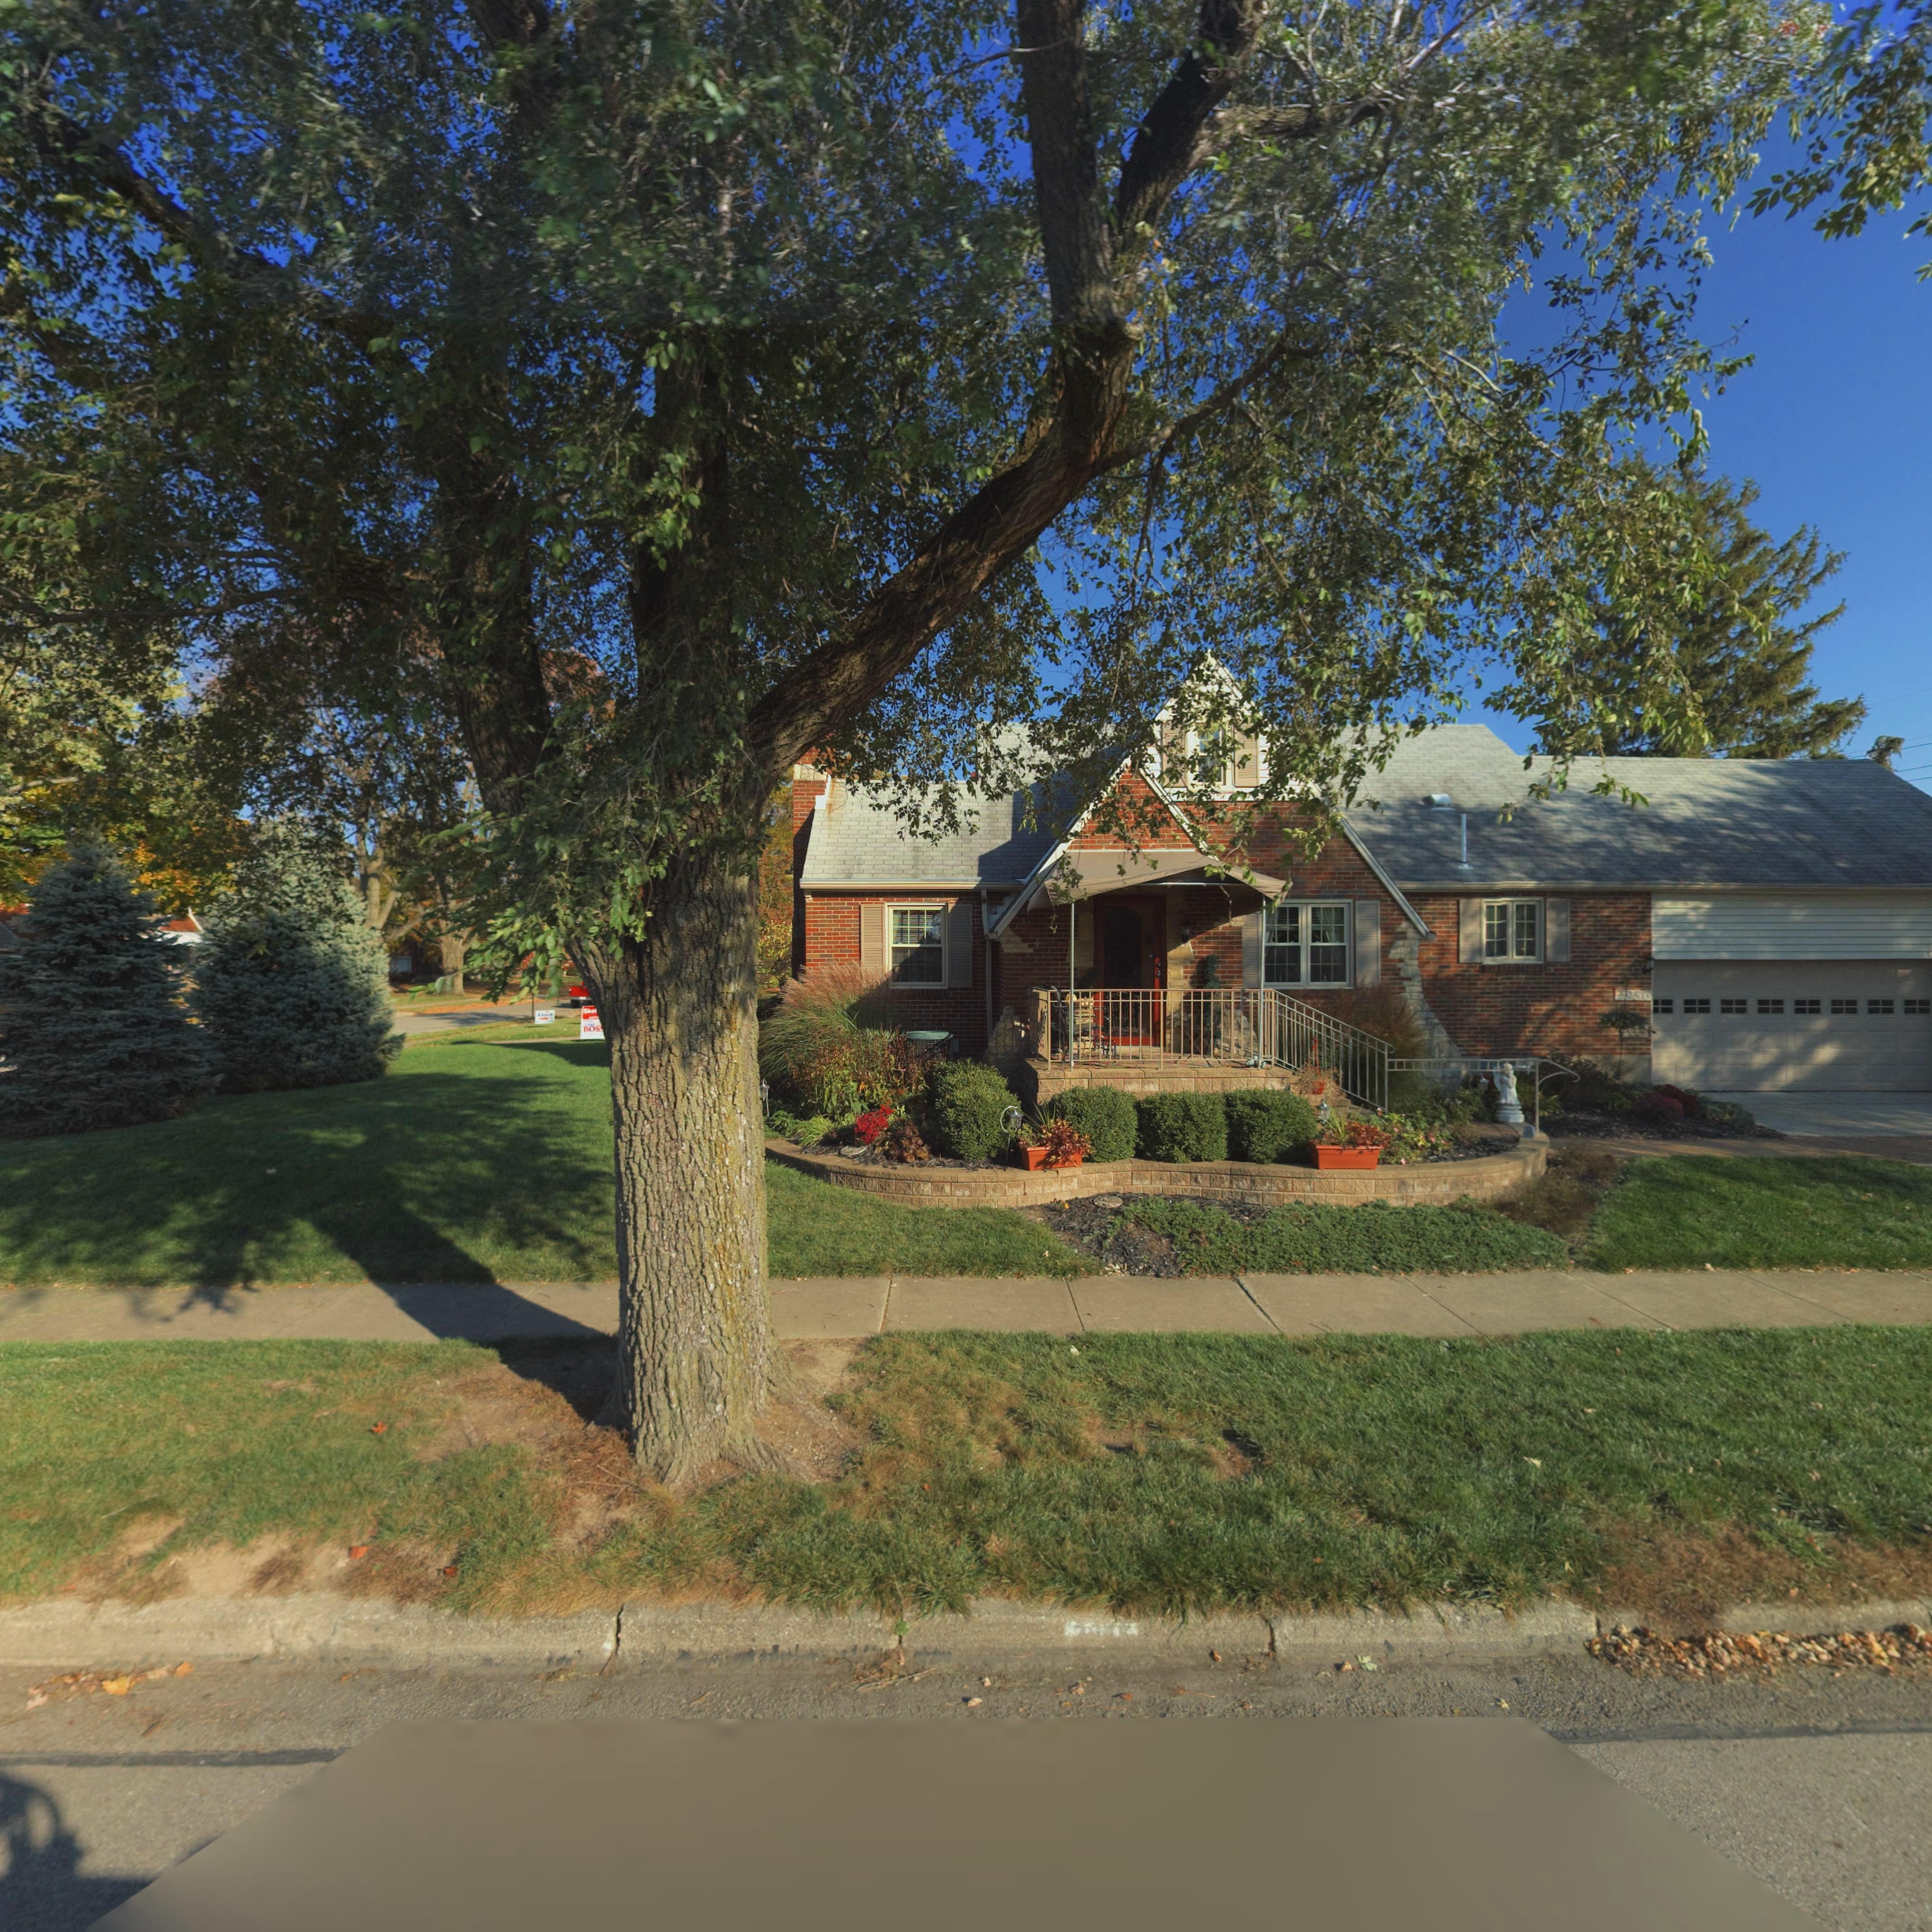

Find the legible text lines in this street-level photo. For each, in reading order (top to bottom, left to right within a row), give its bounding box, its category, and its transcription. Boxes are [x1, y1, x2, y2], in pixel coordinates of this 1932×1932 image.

[1616, 988, 1652, 1001] StreetNumber: 2956
[582, 1024, 601, 1034] None: BOS